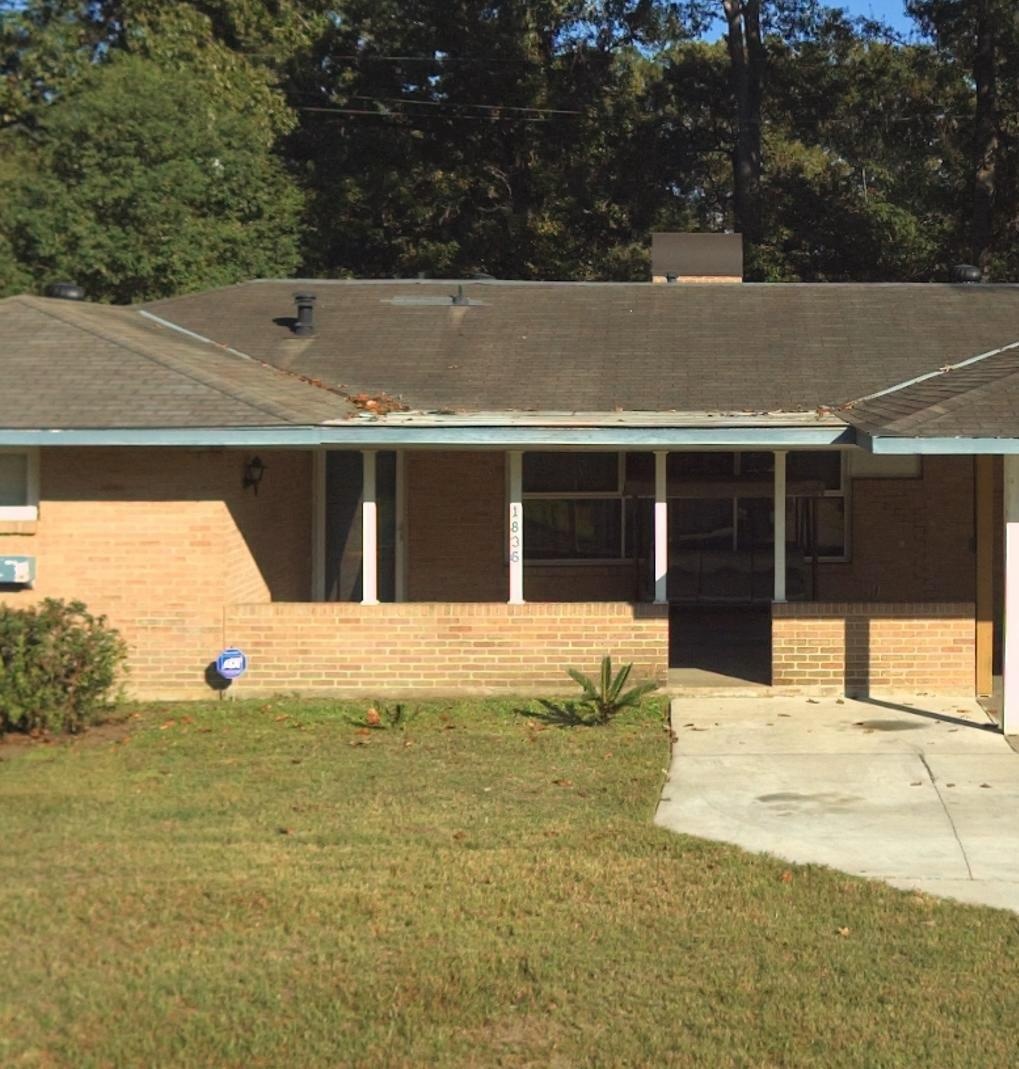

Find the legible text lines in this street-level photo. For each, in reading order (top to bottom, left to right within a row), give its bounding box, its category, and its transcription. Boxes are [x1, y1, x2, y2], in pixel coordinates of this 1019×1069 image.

[510, 504, 520, 564] StreetNumber: 1836
[220, 656, 244, 670] None: ADT